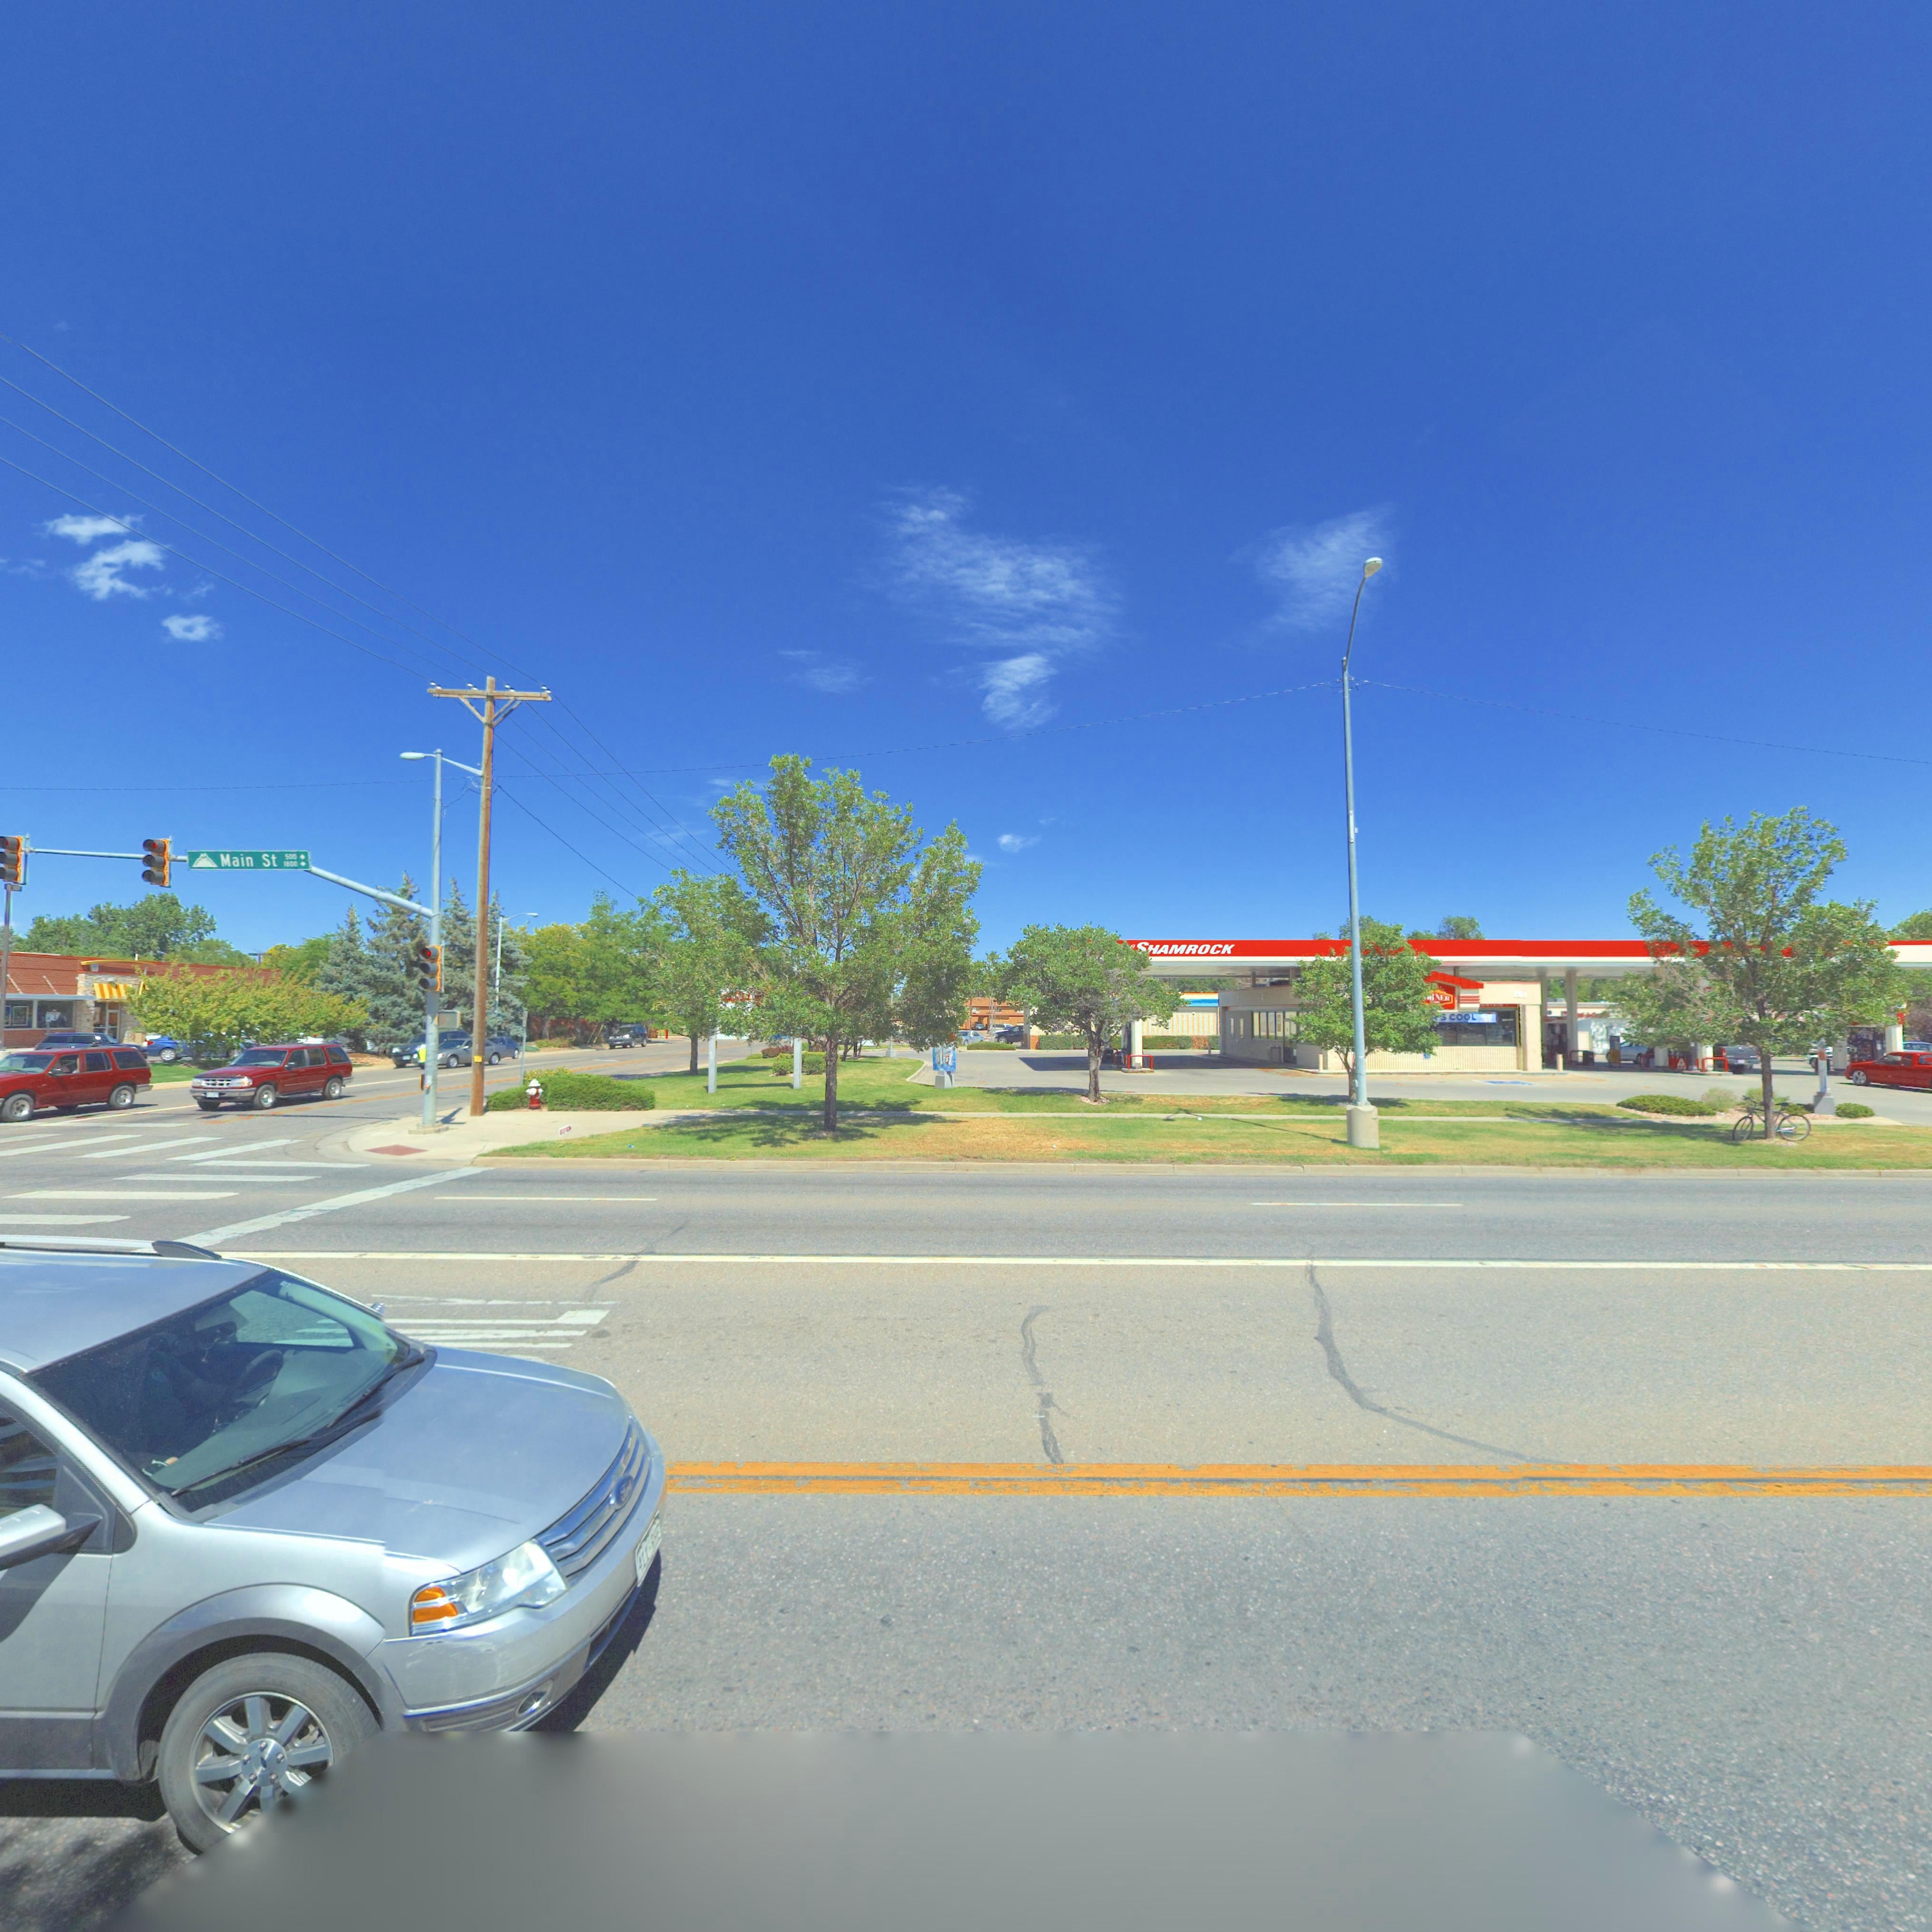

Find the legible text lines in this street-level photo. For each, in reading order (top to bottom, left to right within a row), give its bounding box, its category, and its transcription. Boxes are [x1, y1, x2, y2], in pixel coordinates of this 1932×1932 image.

[219, 853, 277, 868] StreetName: Main St
[285, 853, 297, 860] StreetNumberRange: 500
[283, 861, 306, 867] StreetNumberRange: 1800 ->
[1134, 941, 1236, 955] BusinessName: SHAMROCK
[1429, 993, 1449, 1001] BusinessName: RNER